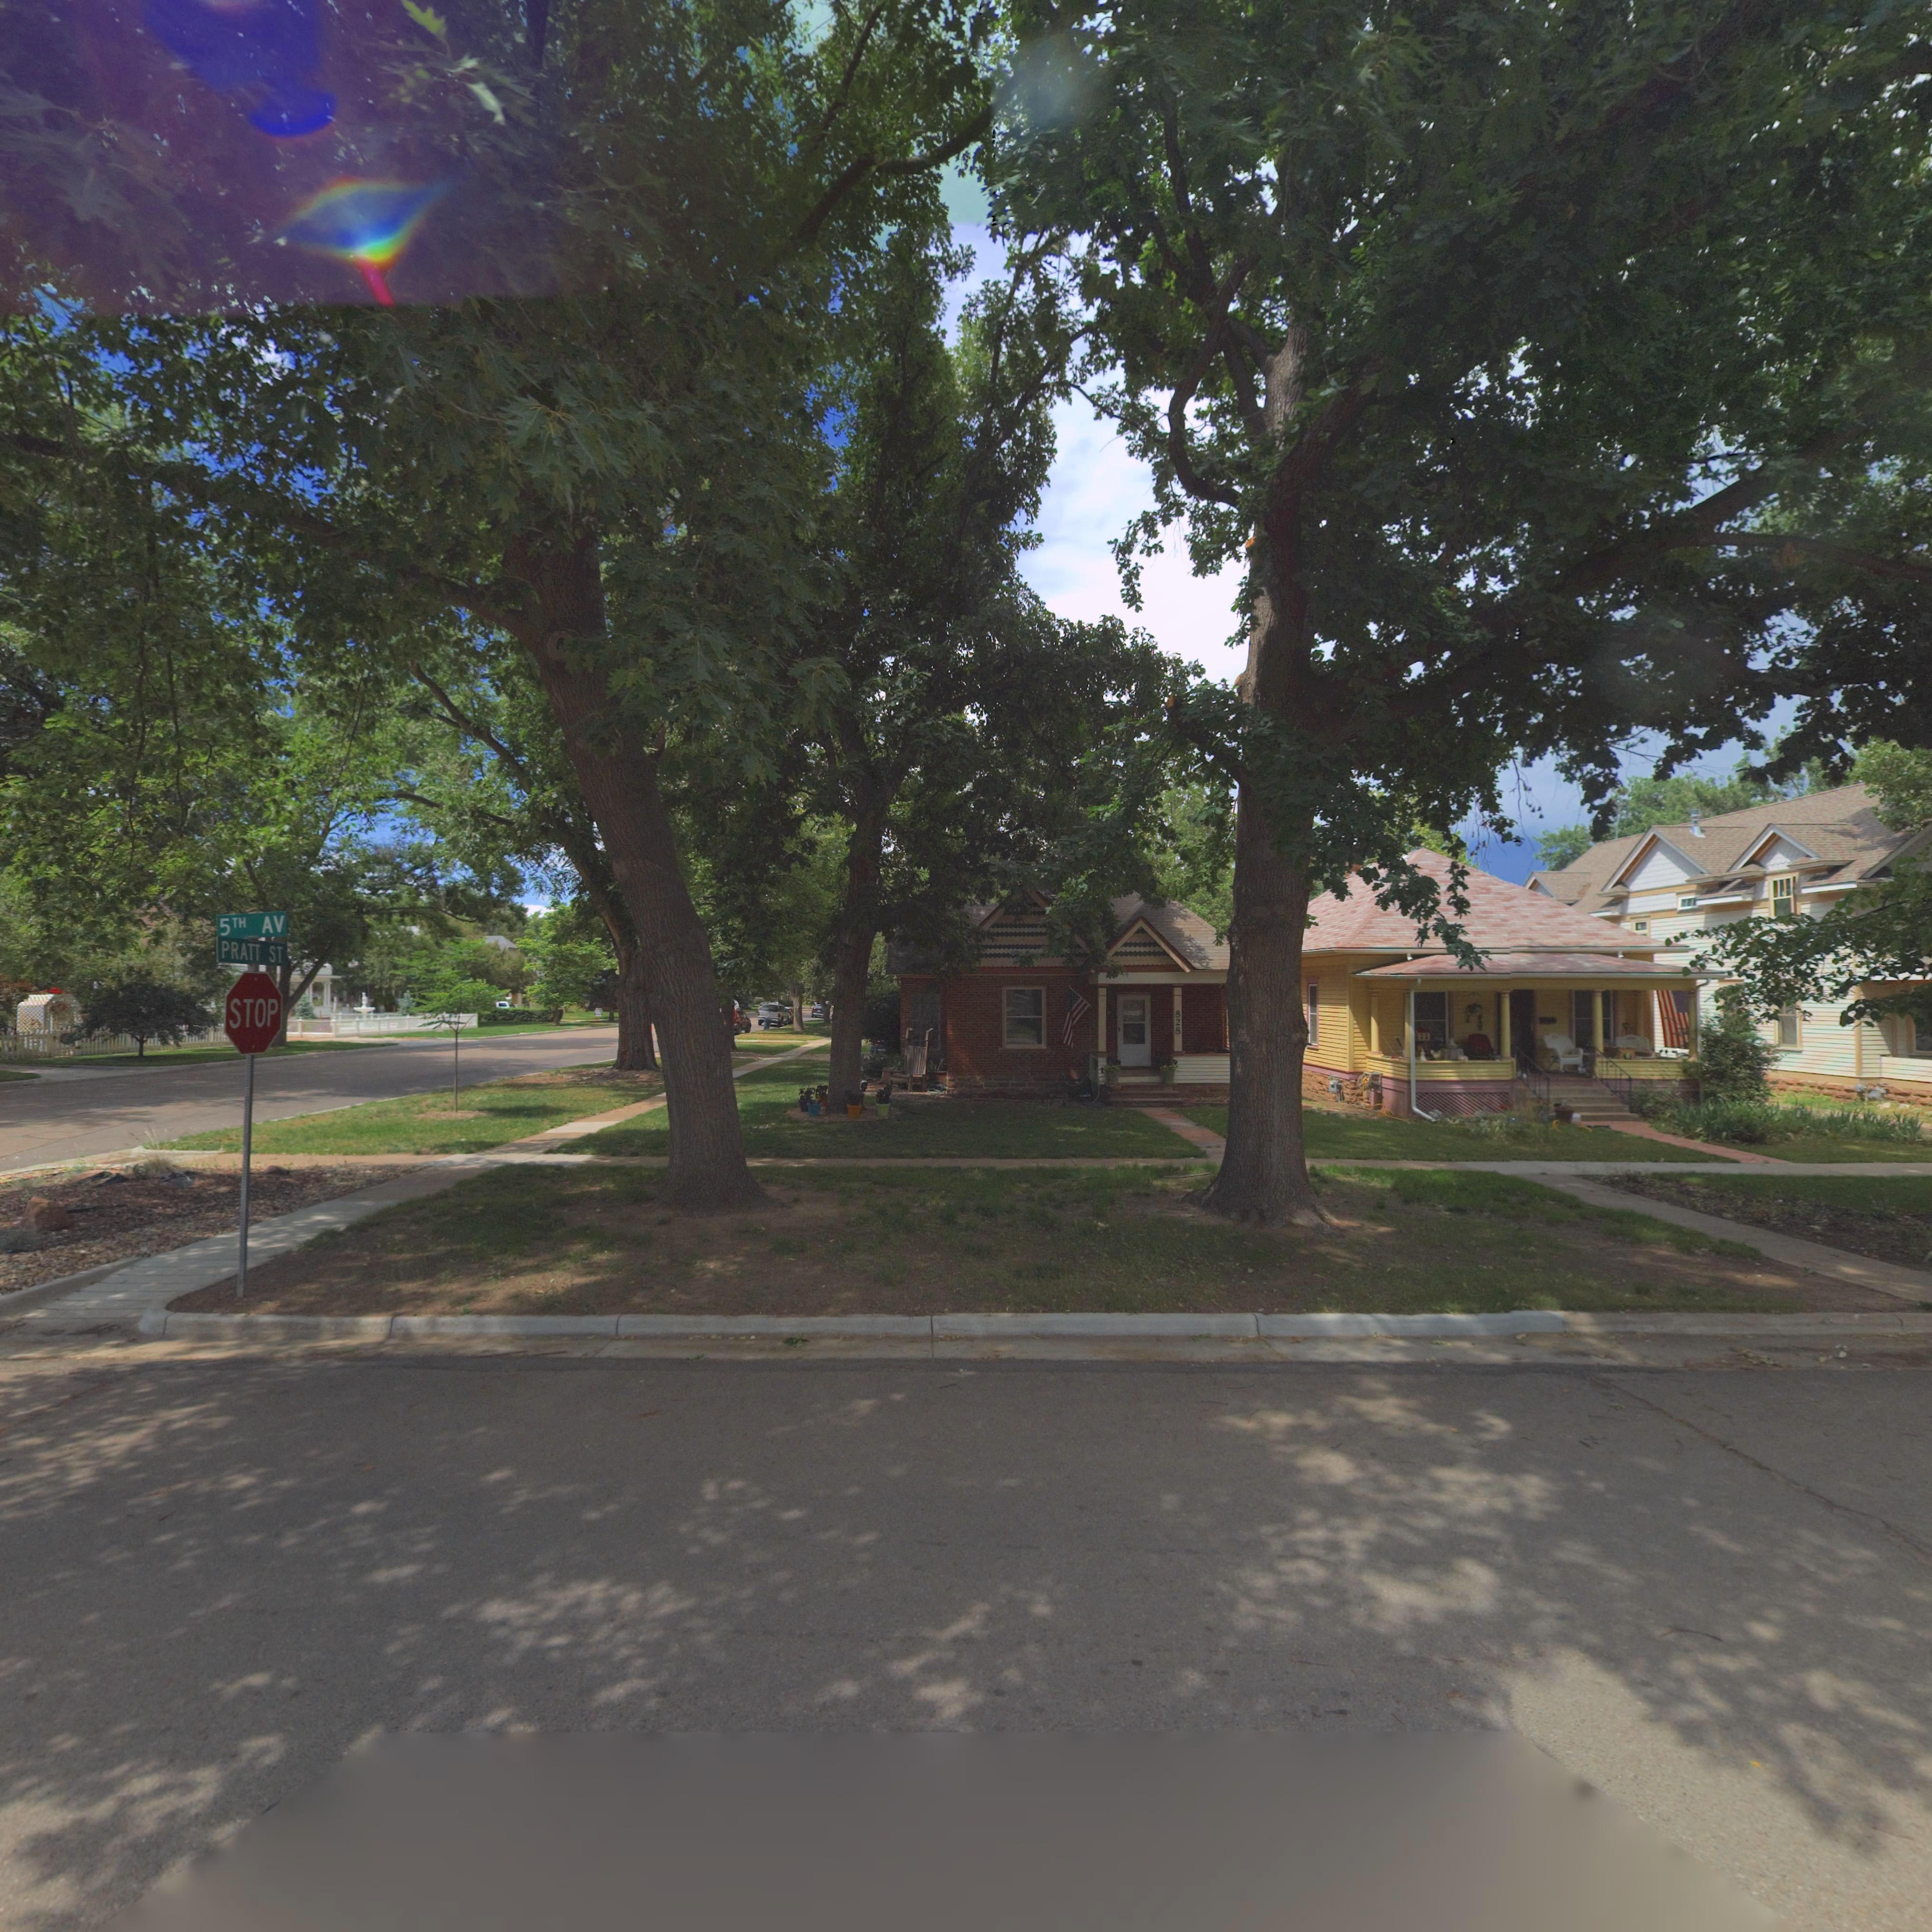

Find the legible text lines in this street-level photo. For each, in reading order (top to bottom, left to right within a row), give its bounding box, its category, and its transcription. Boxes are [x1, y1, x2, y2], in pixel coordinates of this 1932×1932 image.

[219, 914, 285, 937] StreetName: 5TH AV
[221, 940, 284, 964] StreetName: PRATT ST
[1174, 1010, 1181, 1035] StreetNumber: 828